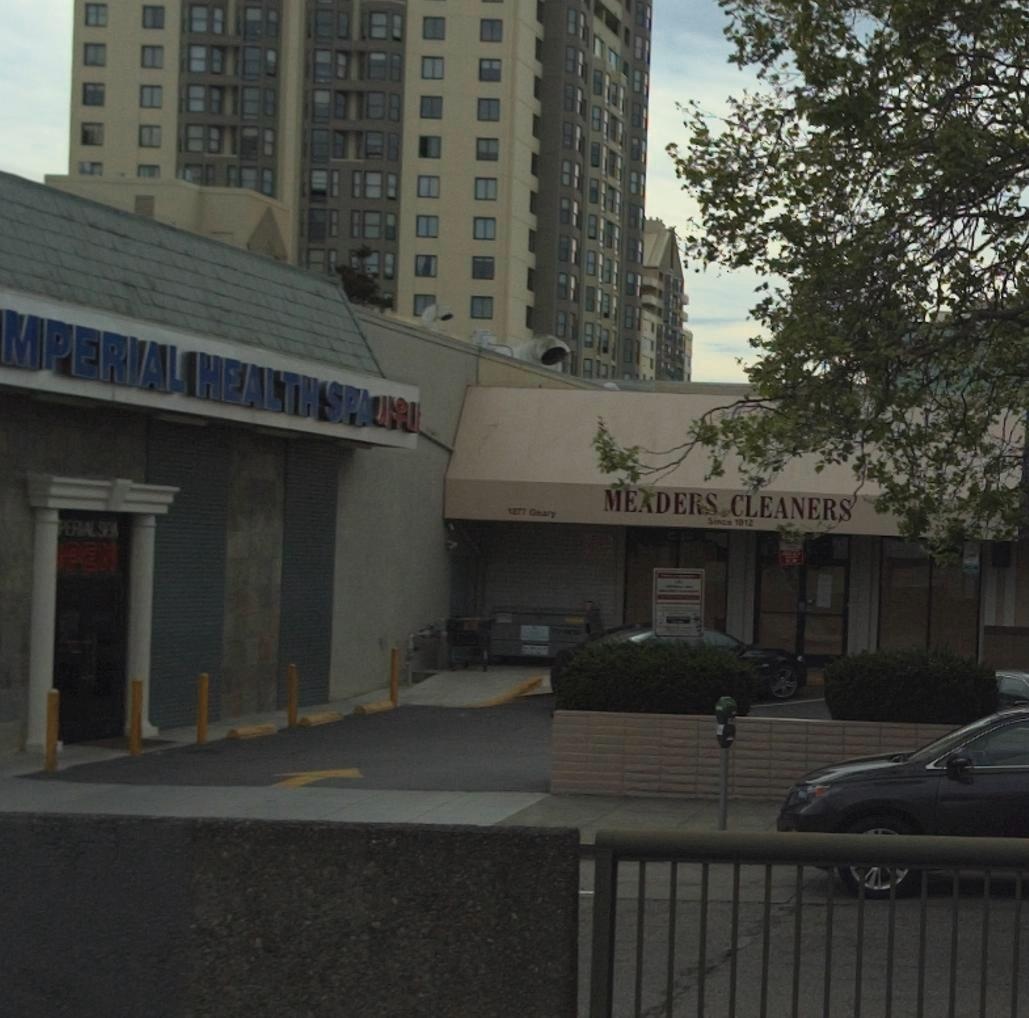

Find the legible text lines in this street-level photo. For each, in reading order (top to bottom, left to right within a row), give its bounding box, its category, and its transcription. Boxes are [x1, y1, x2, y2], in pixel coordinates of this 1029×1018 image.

[0, 303, 376, 432] BusinessName: MPERIAL HEALTH SPA
[62, 518, 123, 540] None: E*IAL SPA
[507, 506, 529, 518] StreetNumber: 1*77
[527, 506, 558, 521] StreetName: Geary
[601, 487, 855, 524] BusinessName: ME*DERS CLEANERS
[733, 517, 755, 528] StreetNumber: 1*12
[61, 538, 120, 575] None: PEN